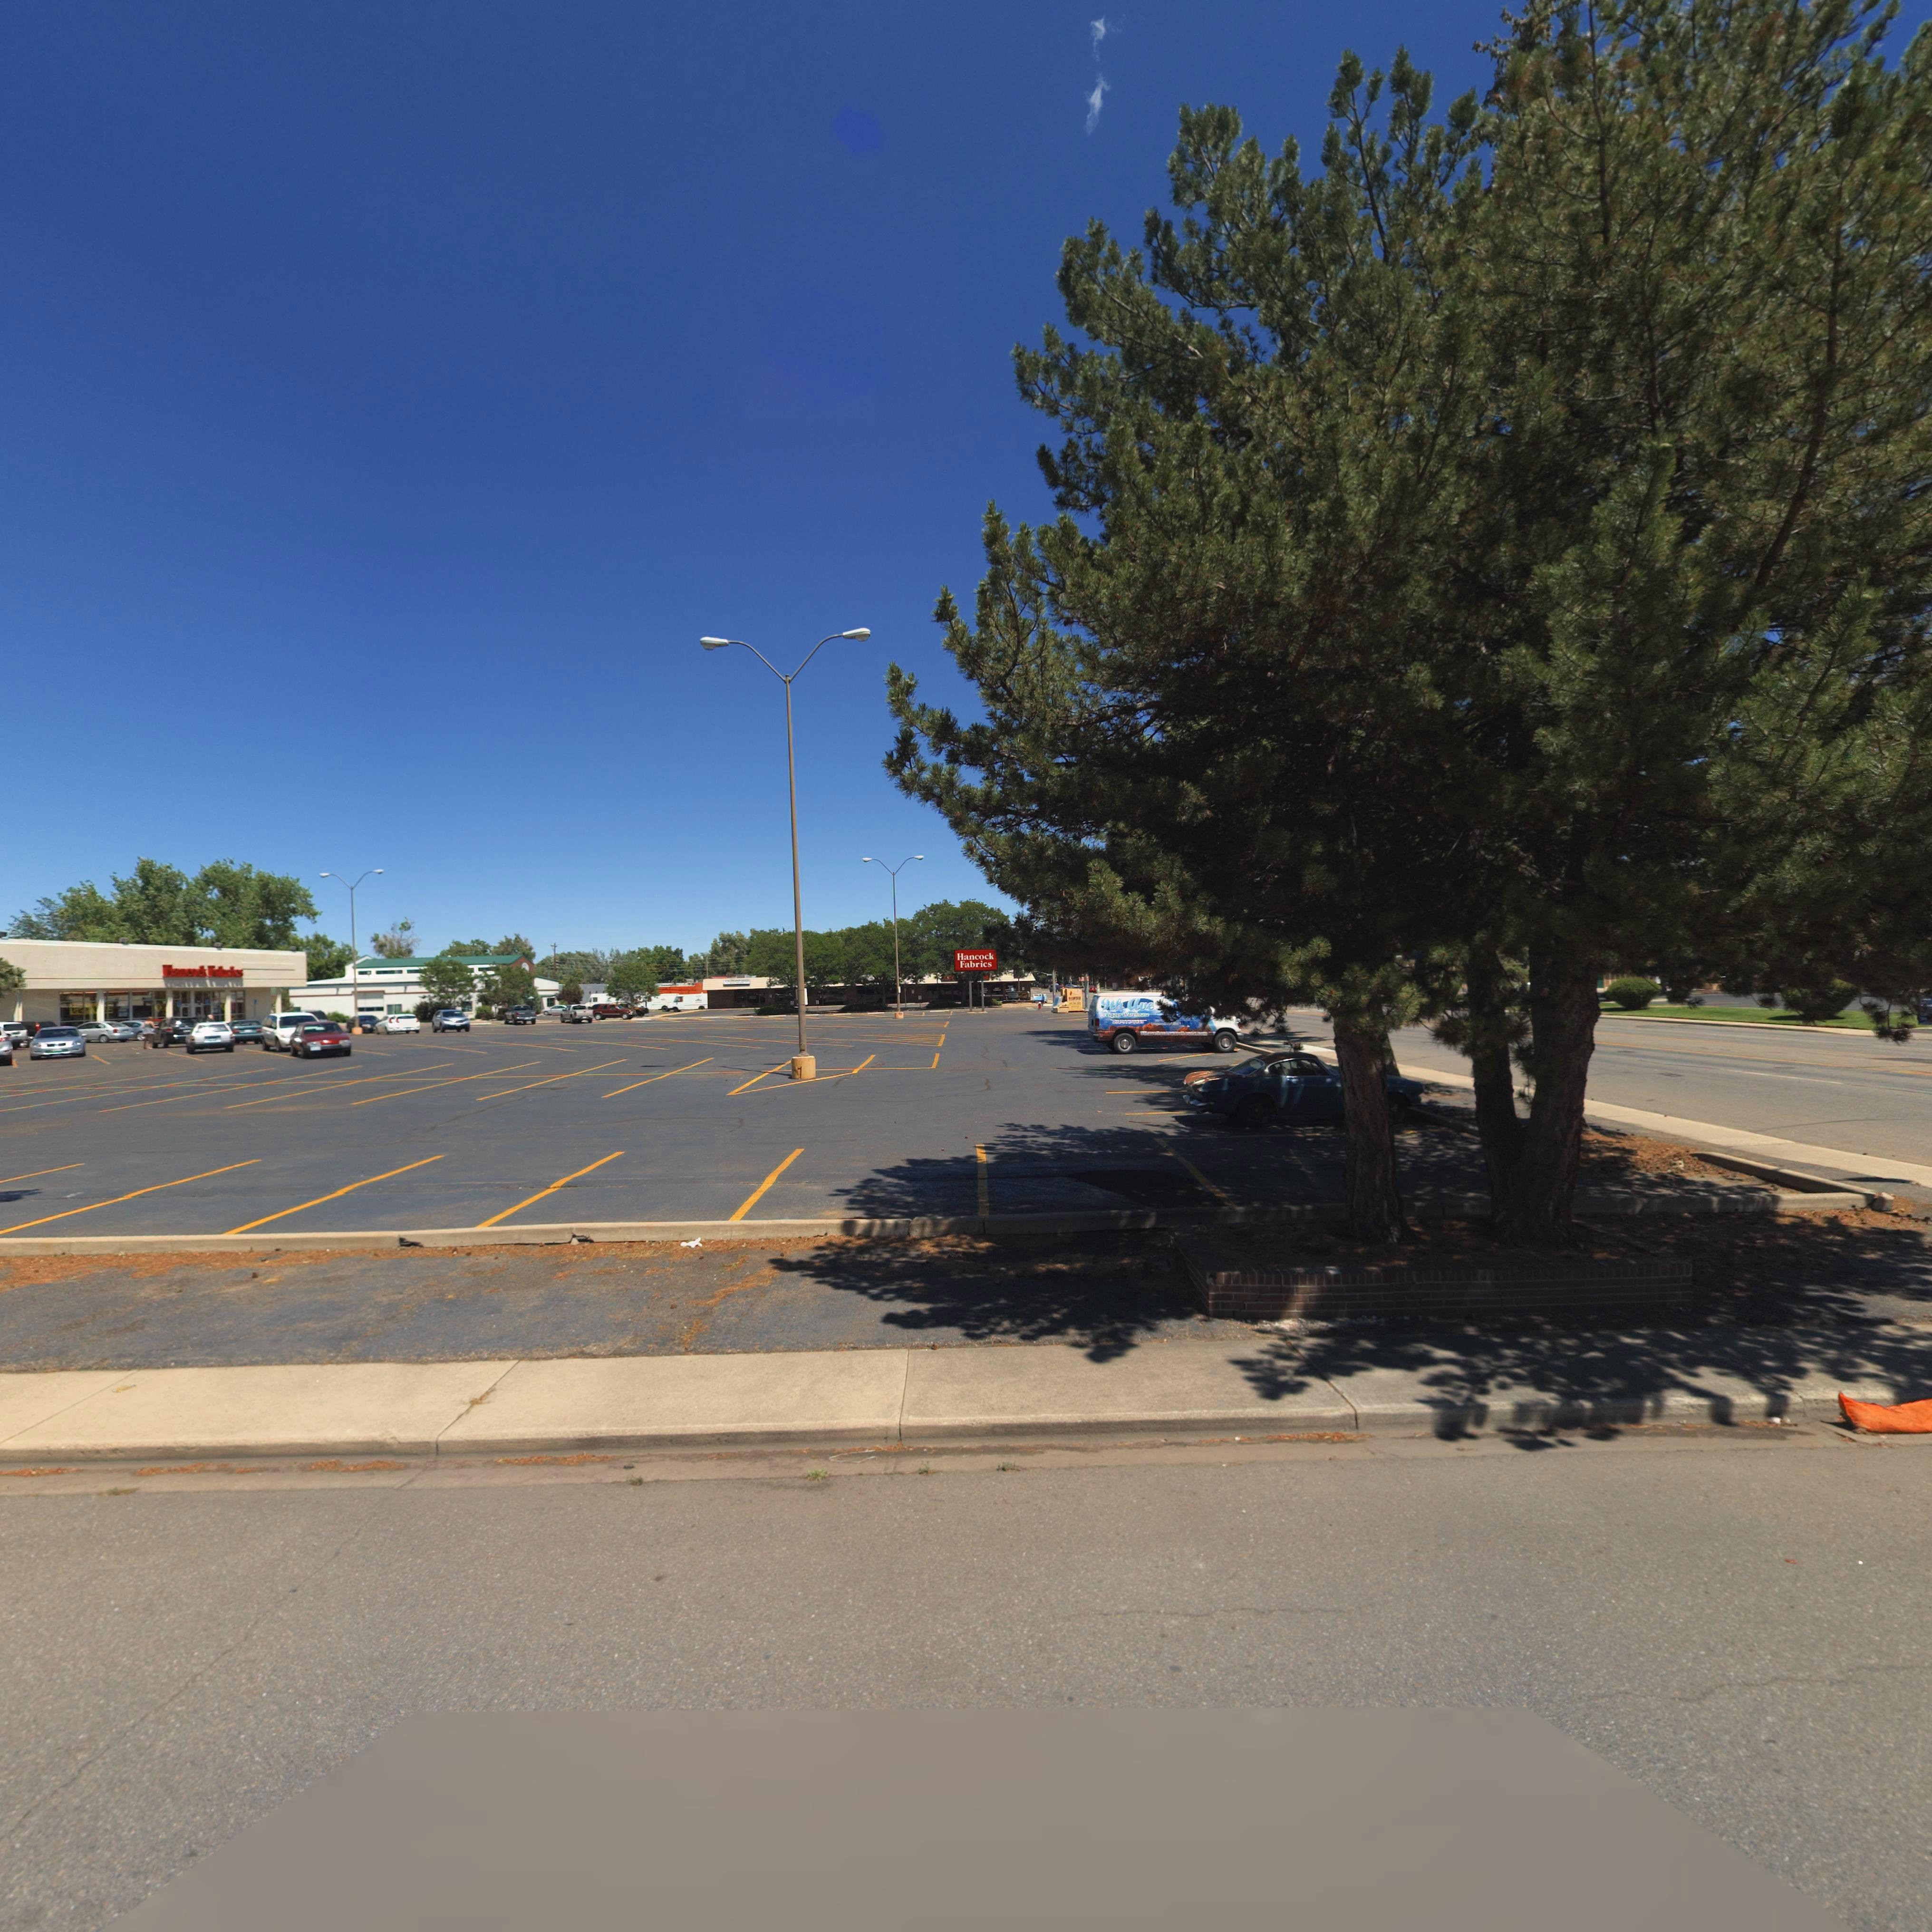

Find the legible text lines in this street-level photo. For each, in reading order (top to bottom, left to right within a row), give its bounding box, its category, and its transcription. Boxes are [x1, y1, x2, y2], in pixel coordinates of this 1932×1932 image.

[956, 952, 994, 960] BusinessName: Hancock
[960, 960, 992, 968] BusinessName: Fabrics
[162, 964, 243, 977] BusinessName: Hancock Fabrics
[724, 979, 749, 982] BusinessName: COLORADO GOLD